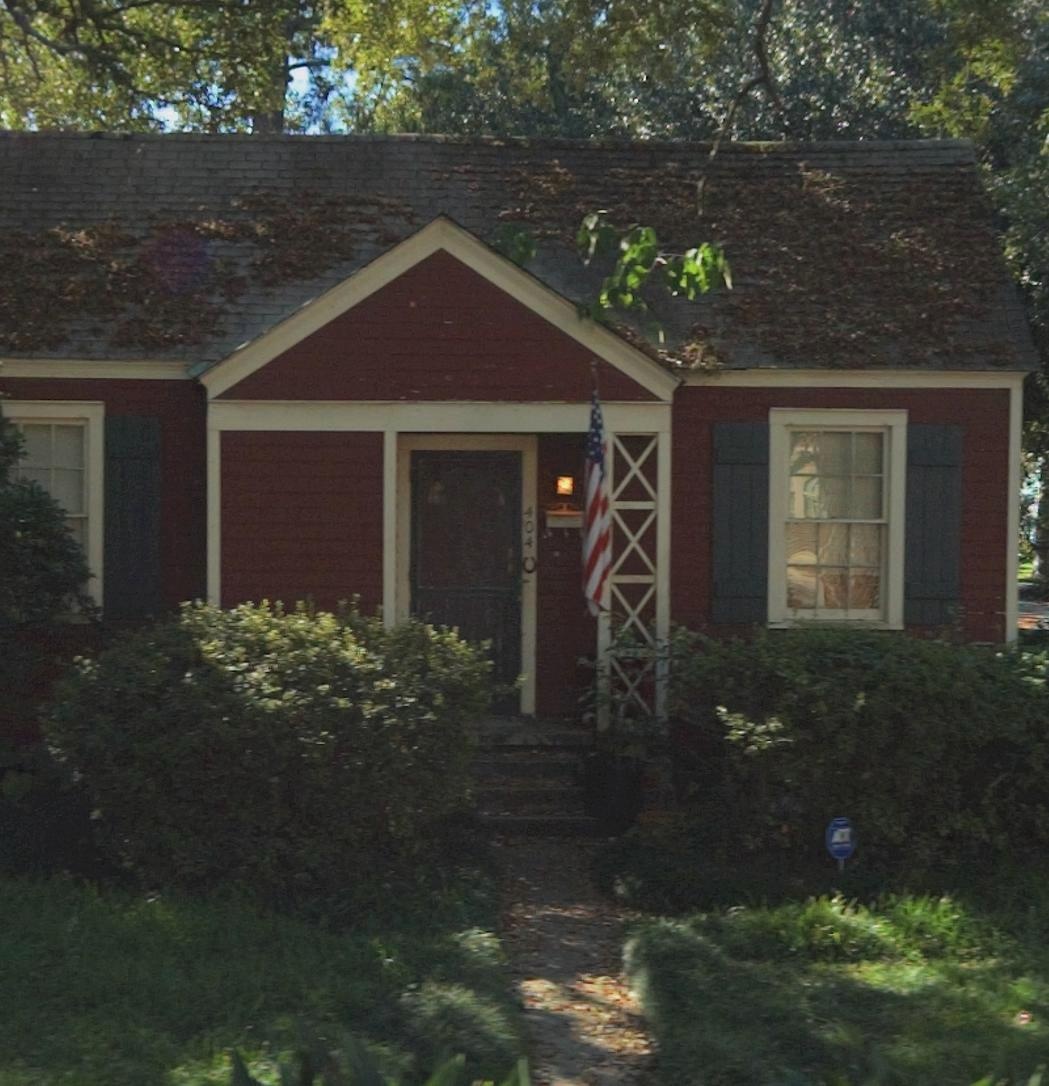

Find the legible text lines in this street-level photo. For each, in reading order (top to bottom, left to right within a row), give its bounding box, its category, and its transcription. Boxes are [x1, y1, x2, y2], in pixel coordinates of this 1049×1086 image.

[521, 504, 536, 550] StreetNumber: 404